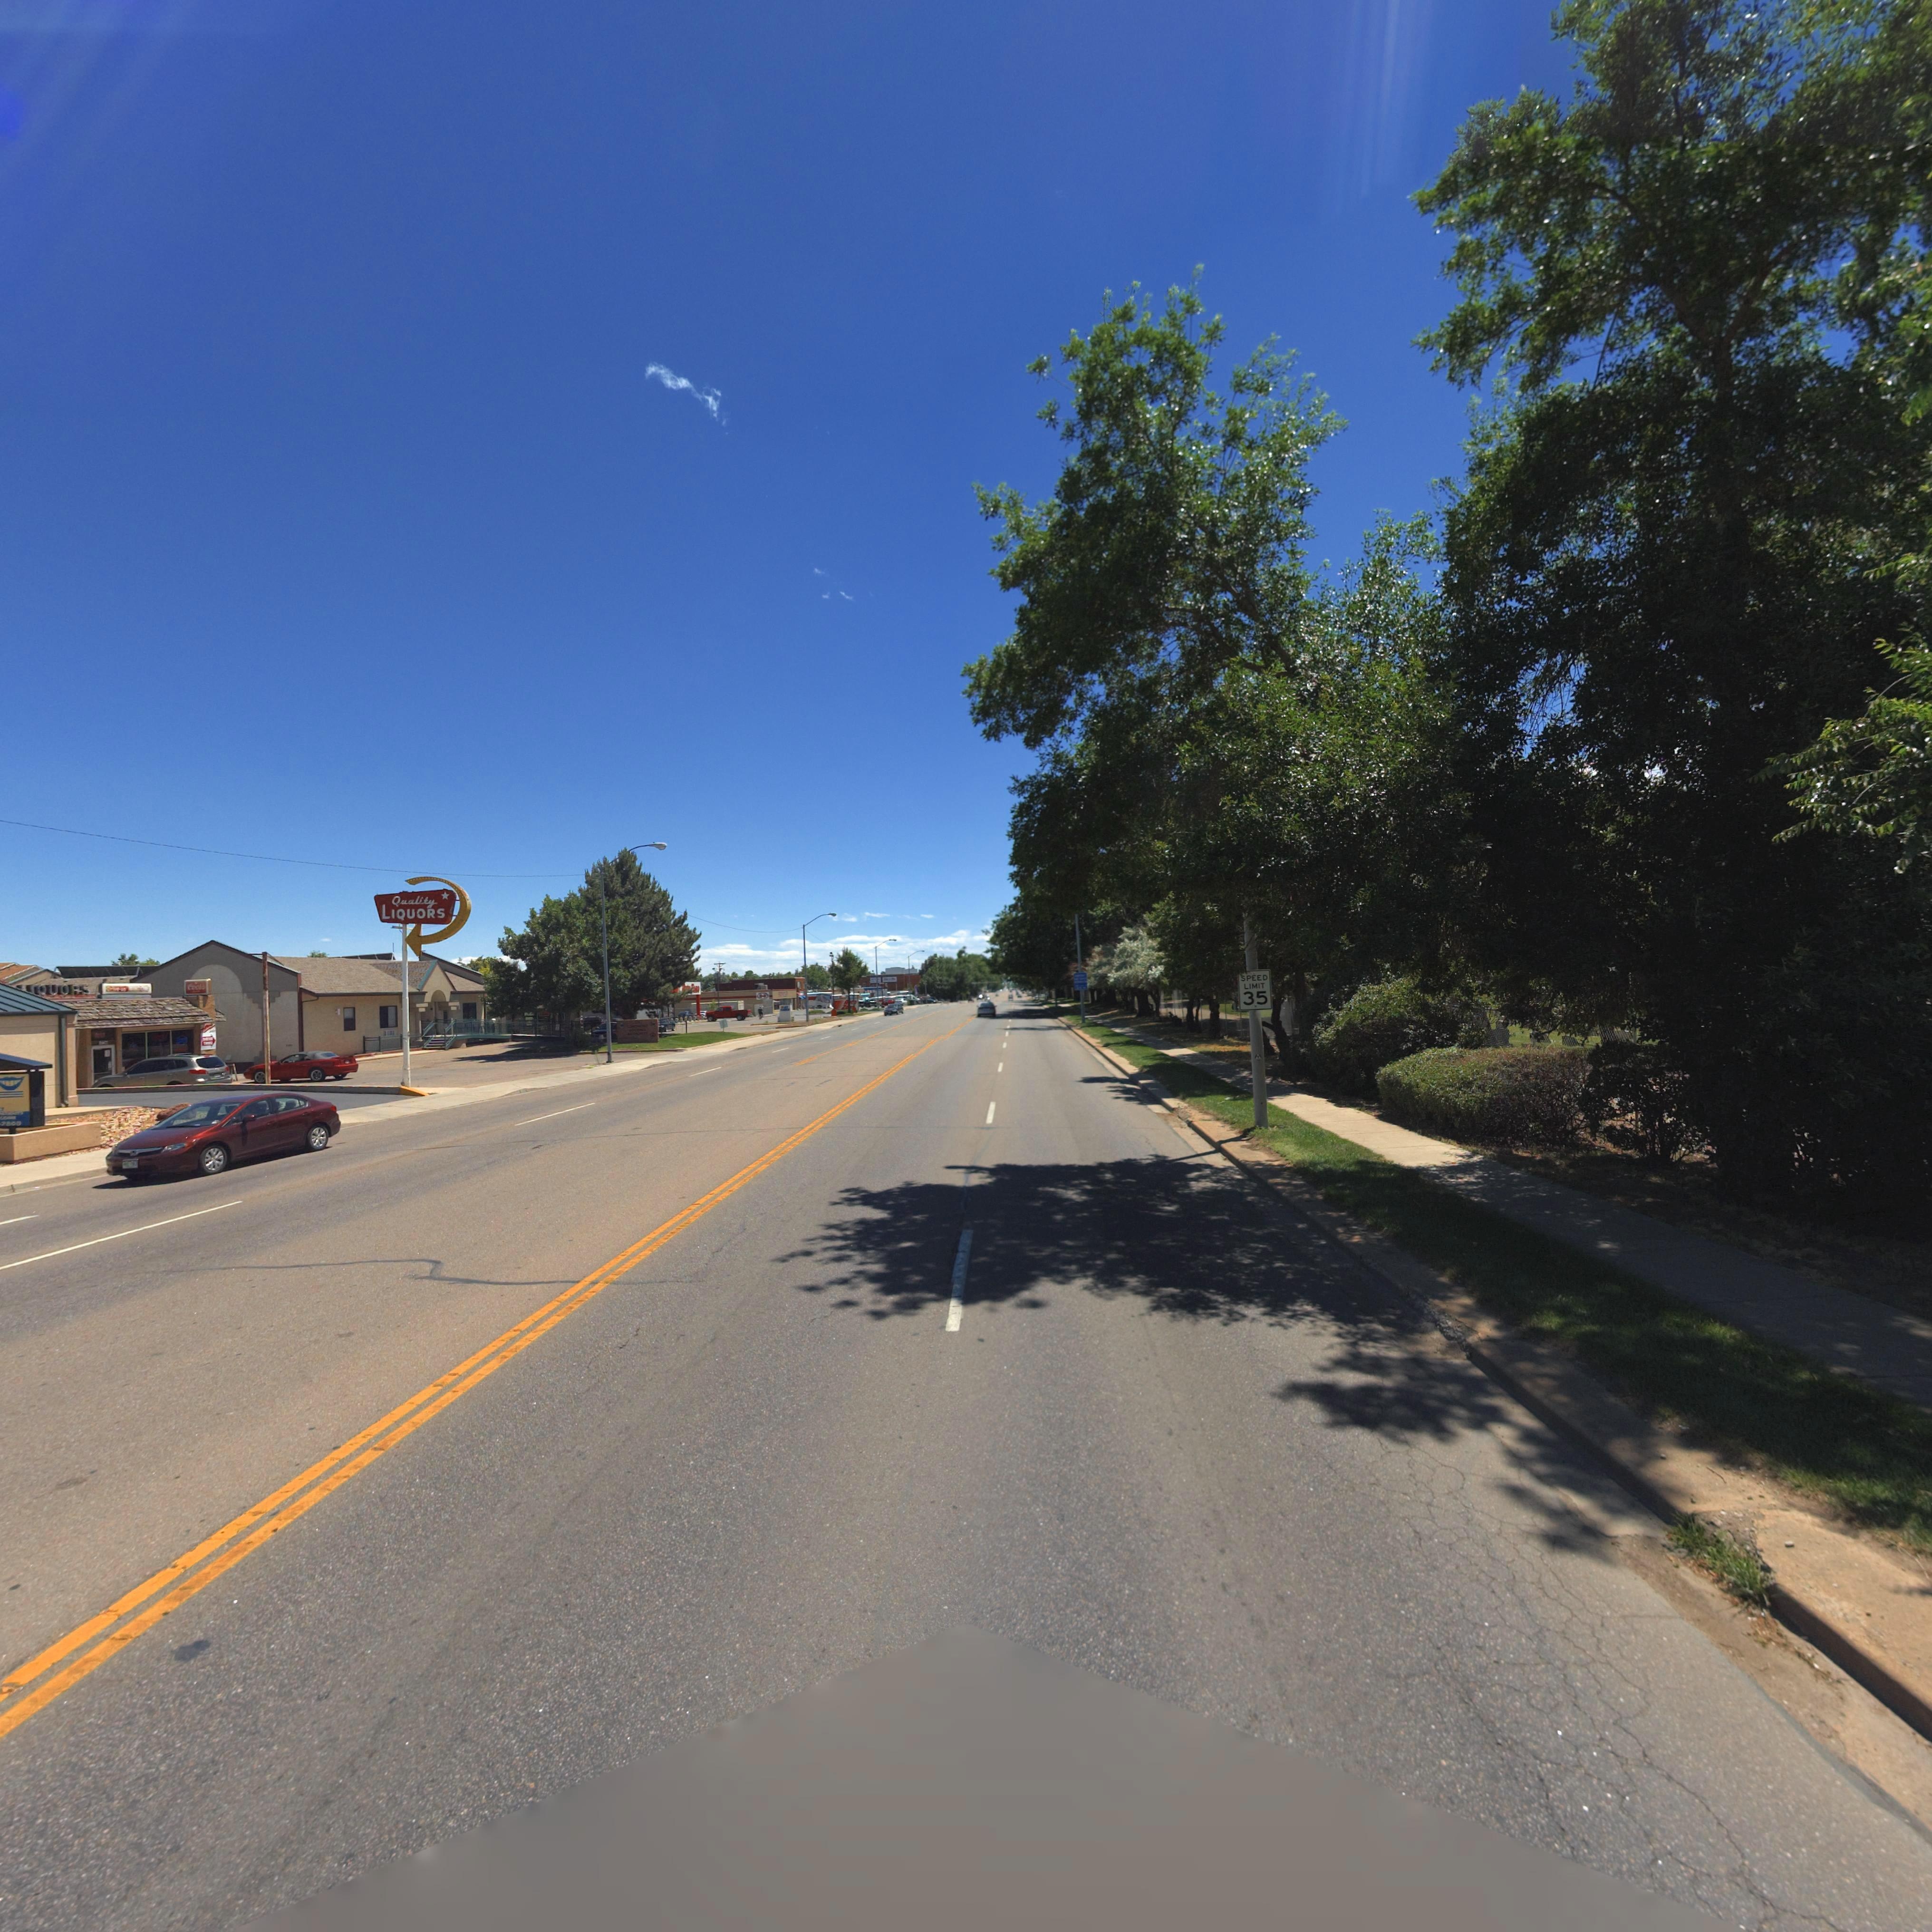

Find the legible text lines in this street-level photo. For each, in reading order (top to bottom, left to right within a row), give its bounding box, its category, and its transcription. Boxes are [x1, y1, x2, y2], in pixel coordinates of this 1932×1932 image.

[391, 895, 438, 908] BusinessName: Quality
[381, 904, 445, 921] BusinessName: LIQUORS
[36, 984, 90, 995] BusinessName: QUORS
[691, 983, 699, 993] BusinessName: *one
[843, 999, 857, 1005] BusinessName: A*to
[780, 1008, 789, 1011] BusinessName: PAWN
[783, 1005, 788, 1008] BusinessName: EZ
[840, 1004, 848, 1010] BusinessName: Zo
[627, 1024, 648, 1028] BusinessName: LONGMONT
[628, 1028, 646, 1032] BusinessName: HOUSING
[627, 1031, 648, 1035] BusinessName: AUTHORITY